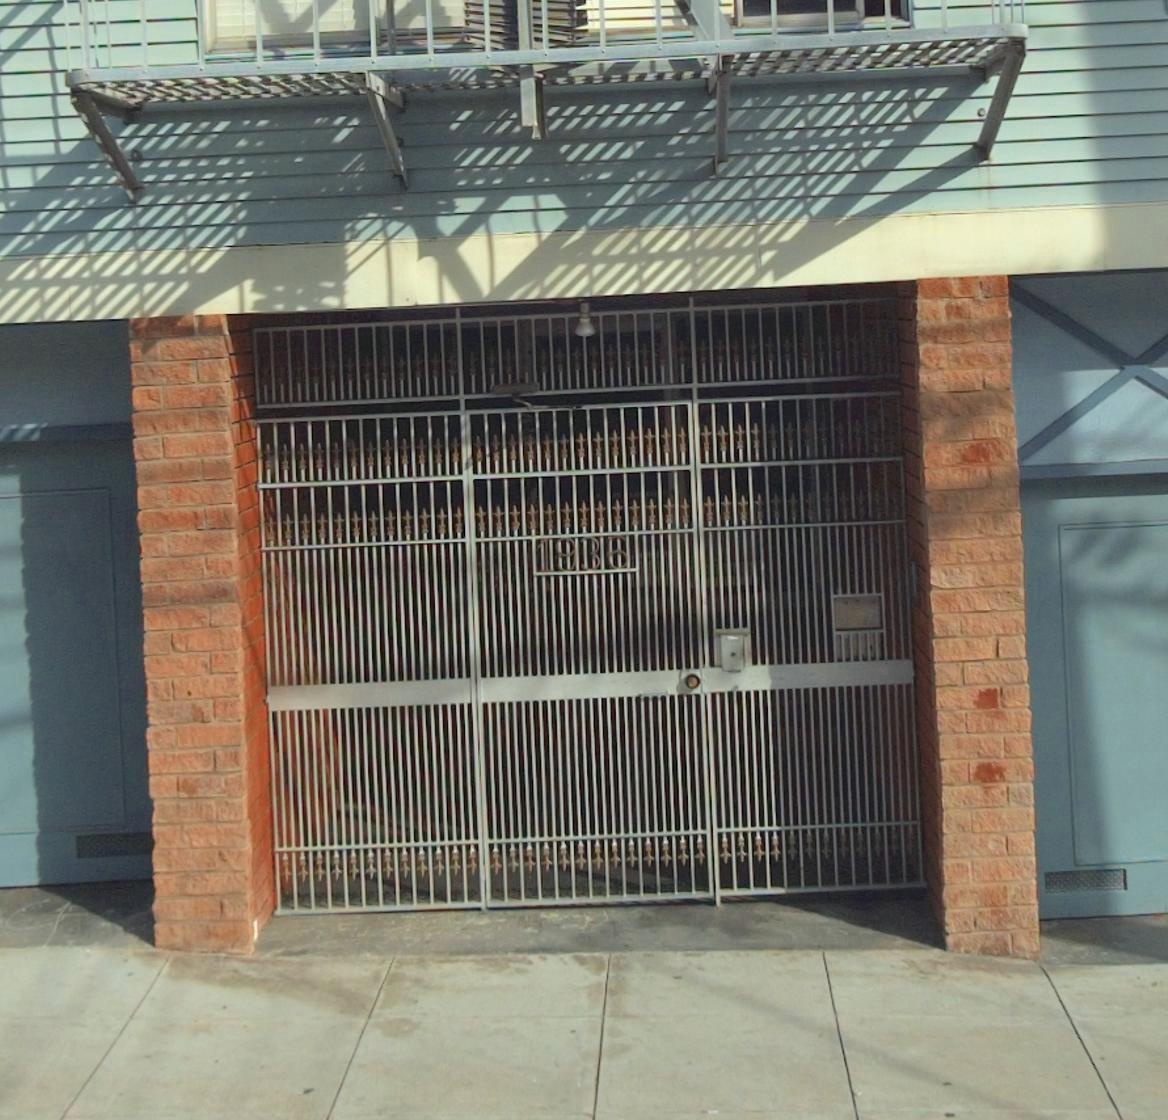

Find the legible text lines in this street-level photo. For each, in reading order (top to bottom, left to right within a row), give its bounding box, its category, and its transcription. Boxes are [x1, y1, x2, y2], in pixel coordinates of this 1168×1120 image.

[534, 533, 631, 574] StreetNumber: 1936